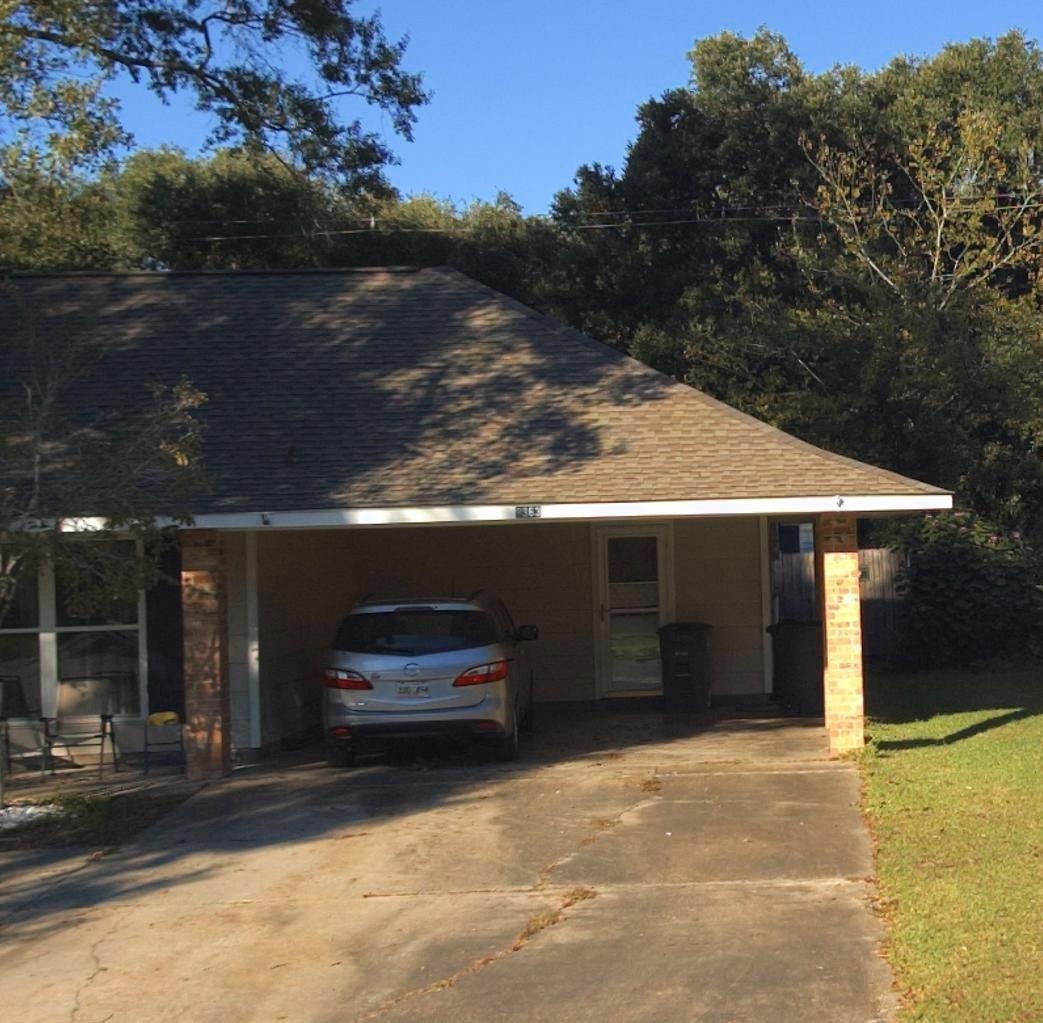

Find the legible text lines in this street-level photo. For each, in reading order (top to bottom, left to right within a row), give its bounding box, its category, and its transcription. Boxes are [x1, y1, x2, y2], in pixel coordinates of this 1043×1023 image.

[515, 506, 541, 518] StreetNumber: 9363